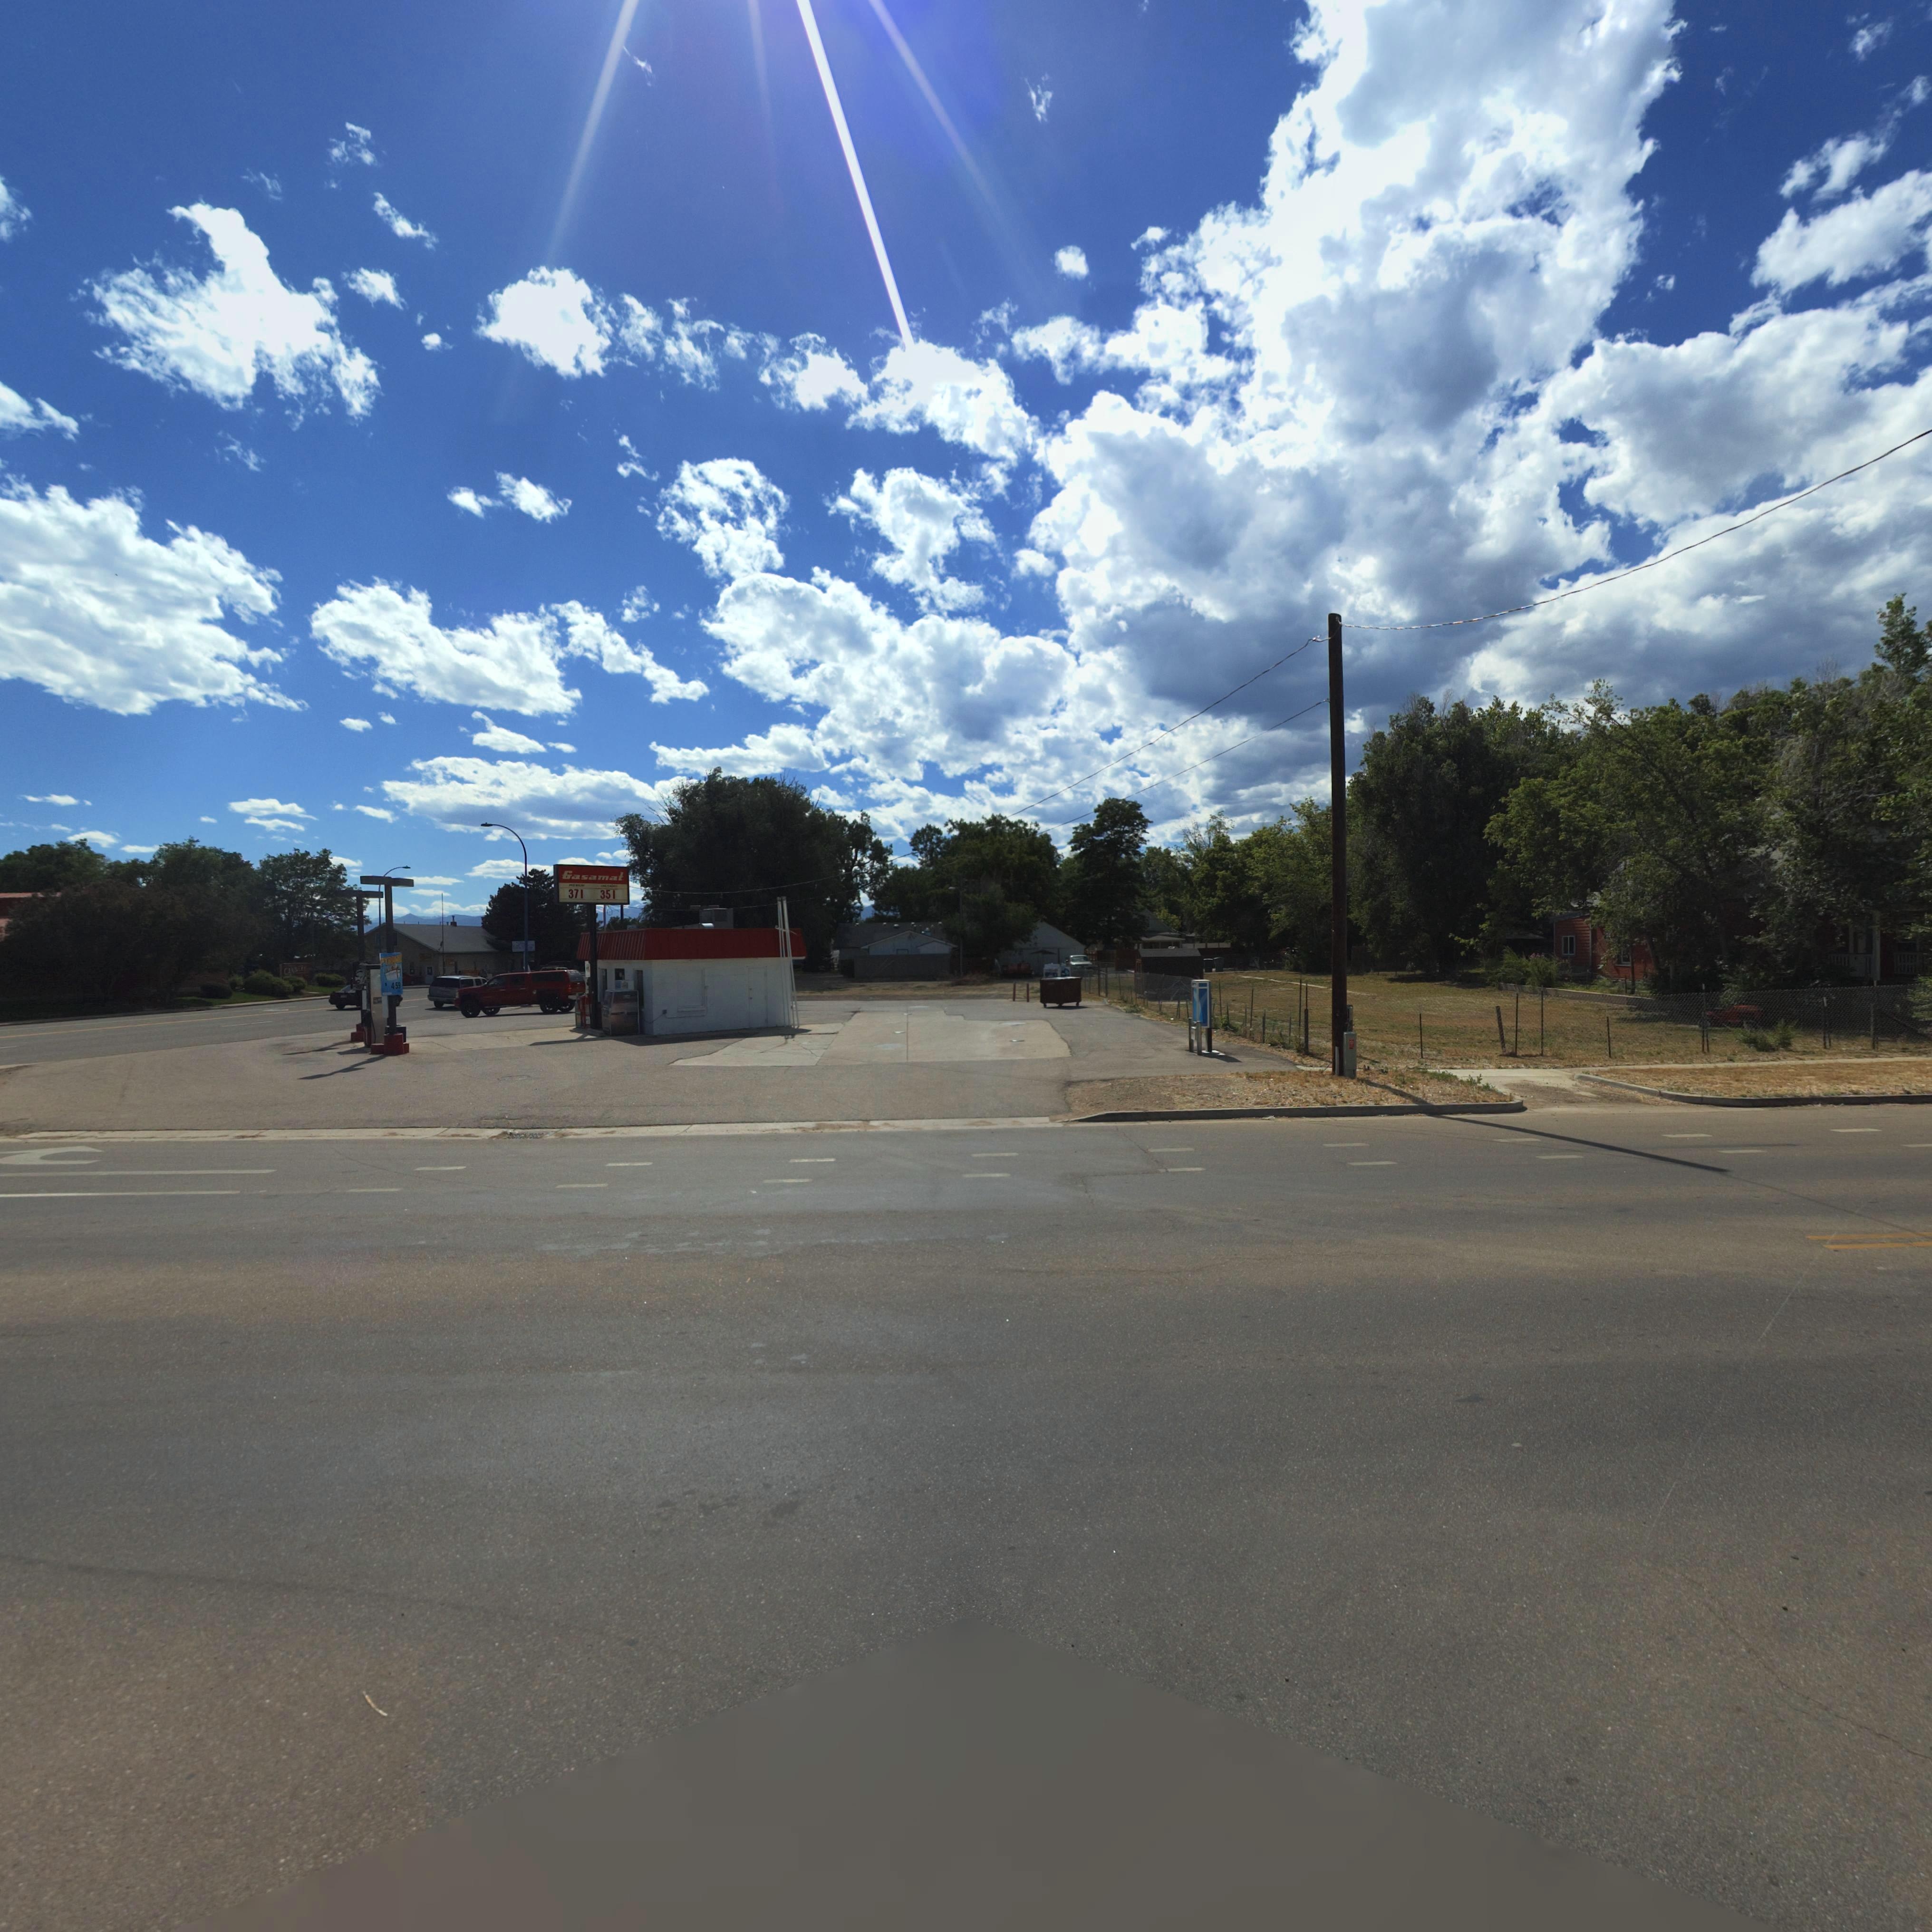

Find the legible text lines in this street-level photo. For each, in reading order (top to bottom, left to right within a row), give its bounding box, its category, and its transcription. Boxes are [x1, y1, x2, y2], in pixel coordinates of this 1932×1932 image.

[561, 870, 625, 881] BusinessName: Gasamat